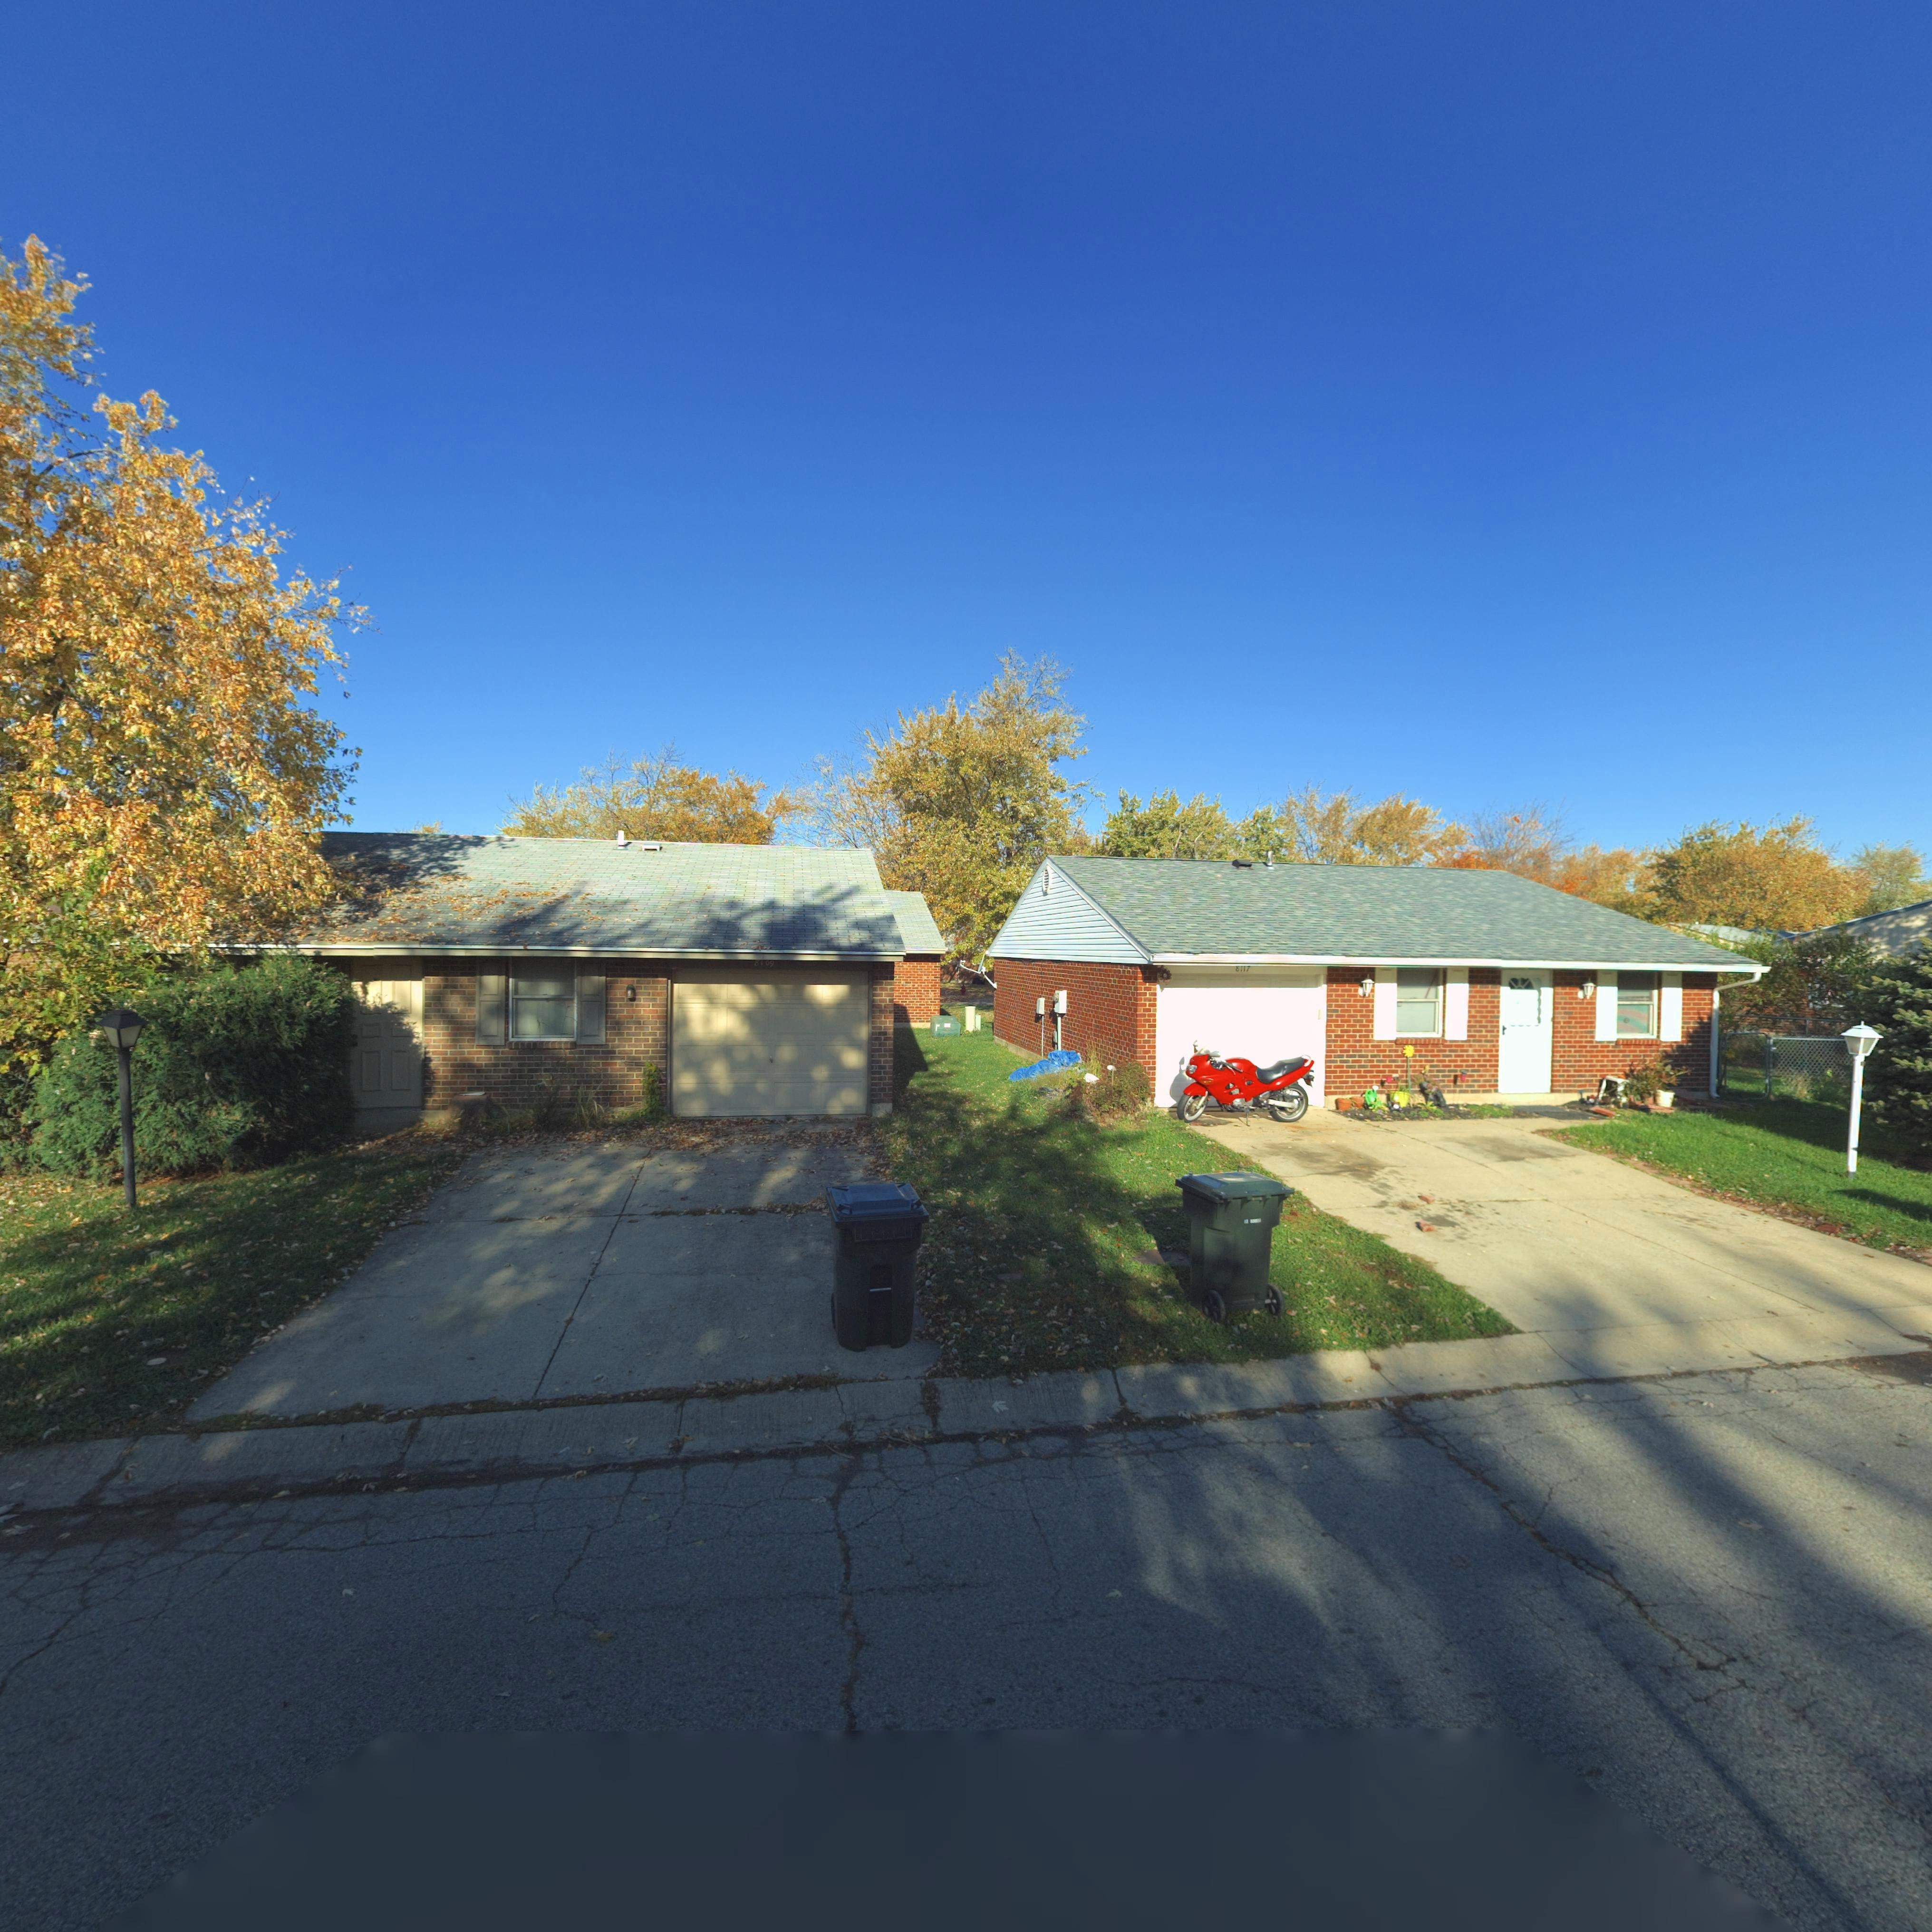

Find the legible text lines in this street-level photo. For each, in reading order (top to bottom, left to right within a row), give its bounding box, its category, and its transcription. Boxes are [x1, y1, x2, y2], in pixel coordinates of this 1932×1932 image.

[753, 959, 775, 969] StreetNumber: 8109
[1235, 965, 1252, 973] StreetNumber: 8117